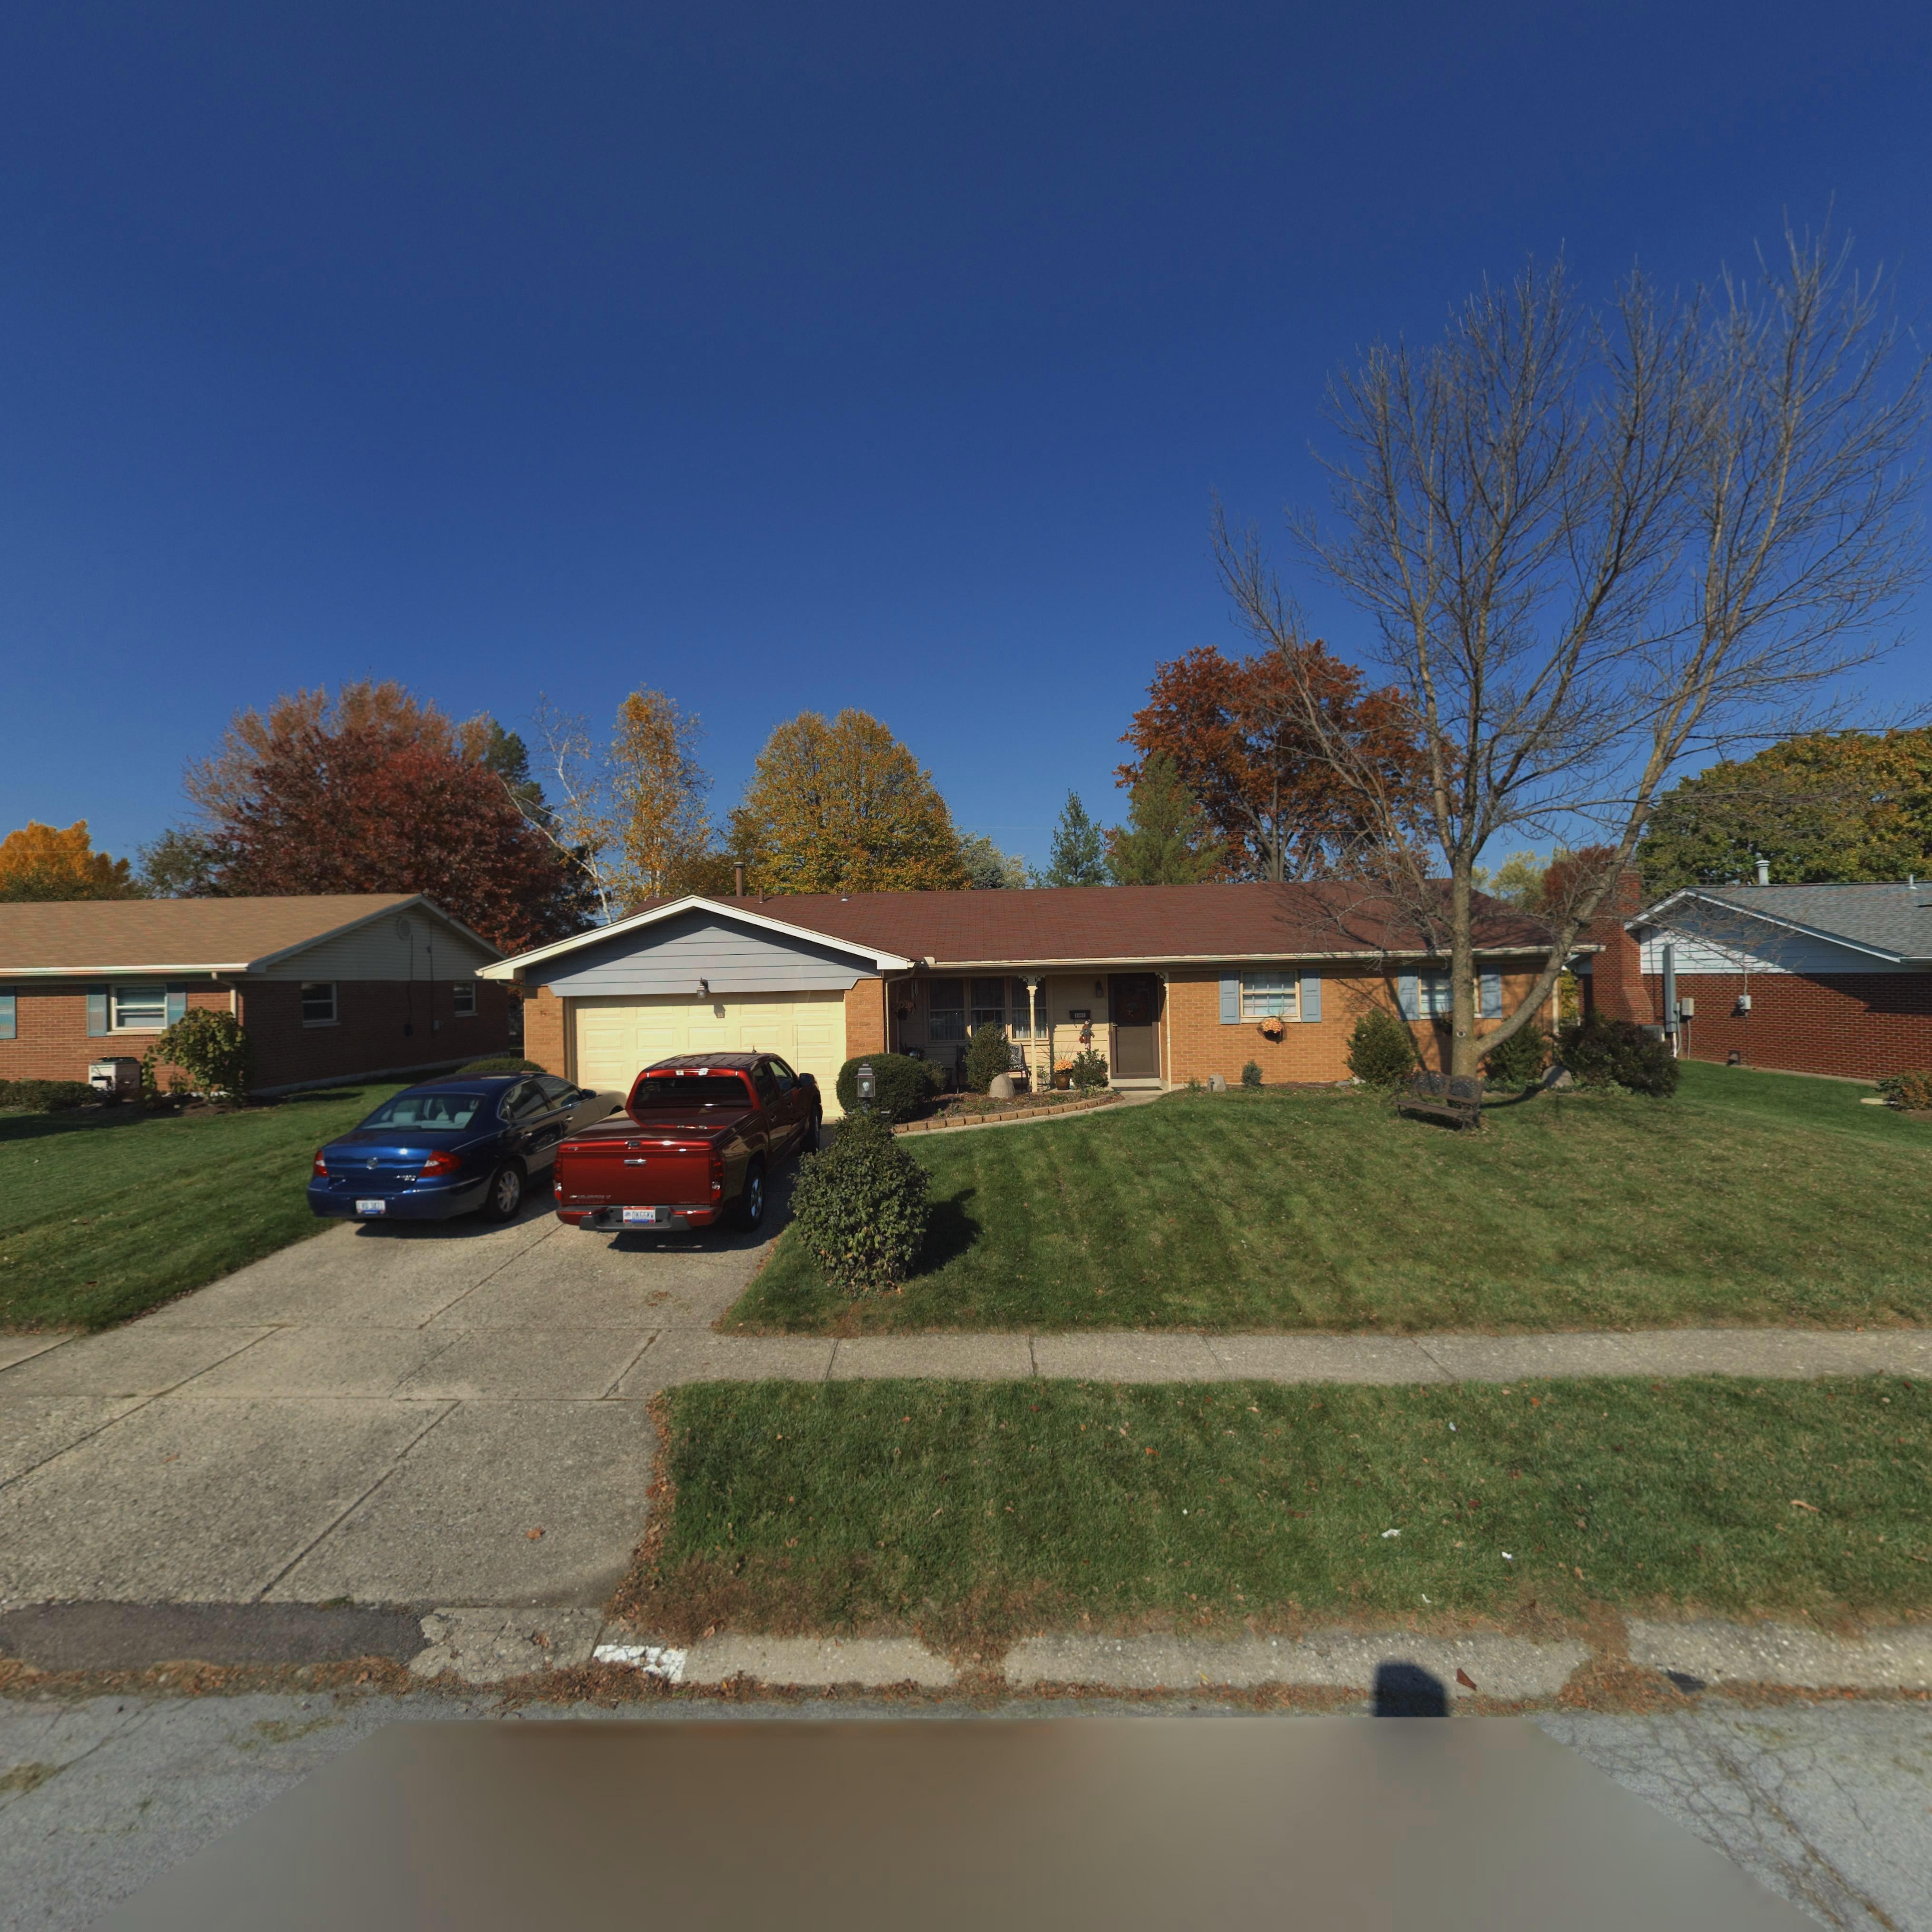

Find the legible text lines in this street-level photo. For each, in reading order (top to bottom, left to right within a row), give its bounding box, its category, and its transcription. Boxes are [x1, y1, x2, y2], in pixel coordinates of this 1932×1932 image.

[1075, 1013, 1085, 1017] StreetNumber: 1001